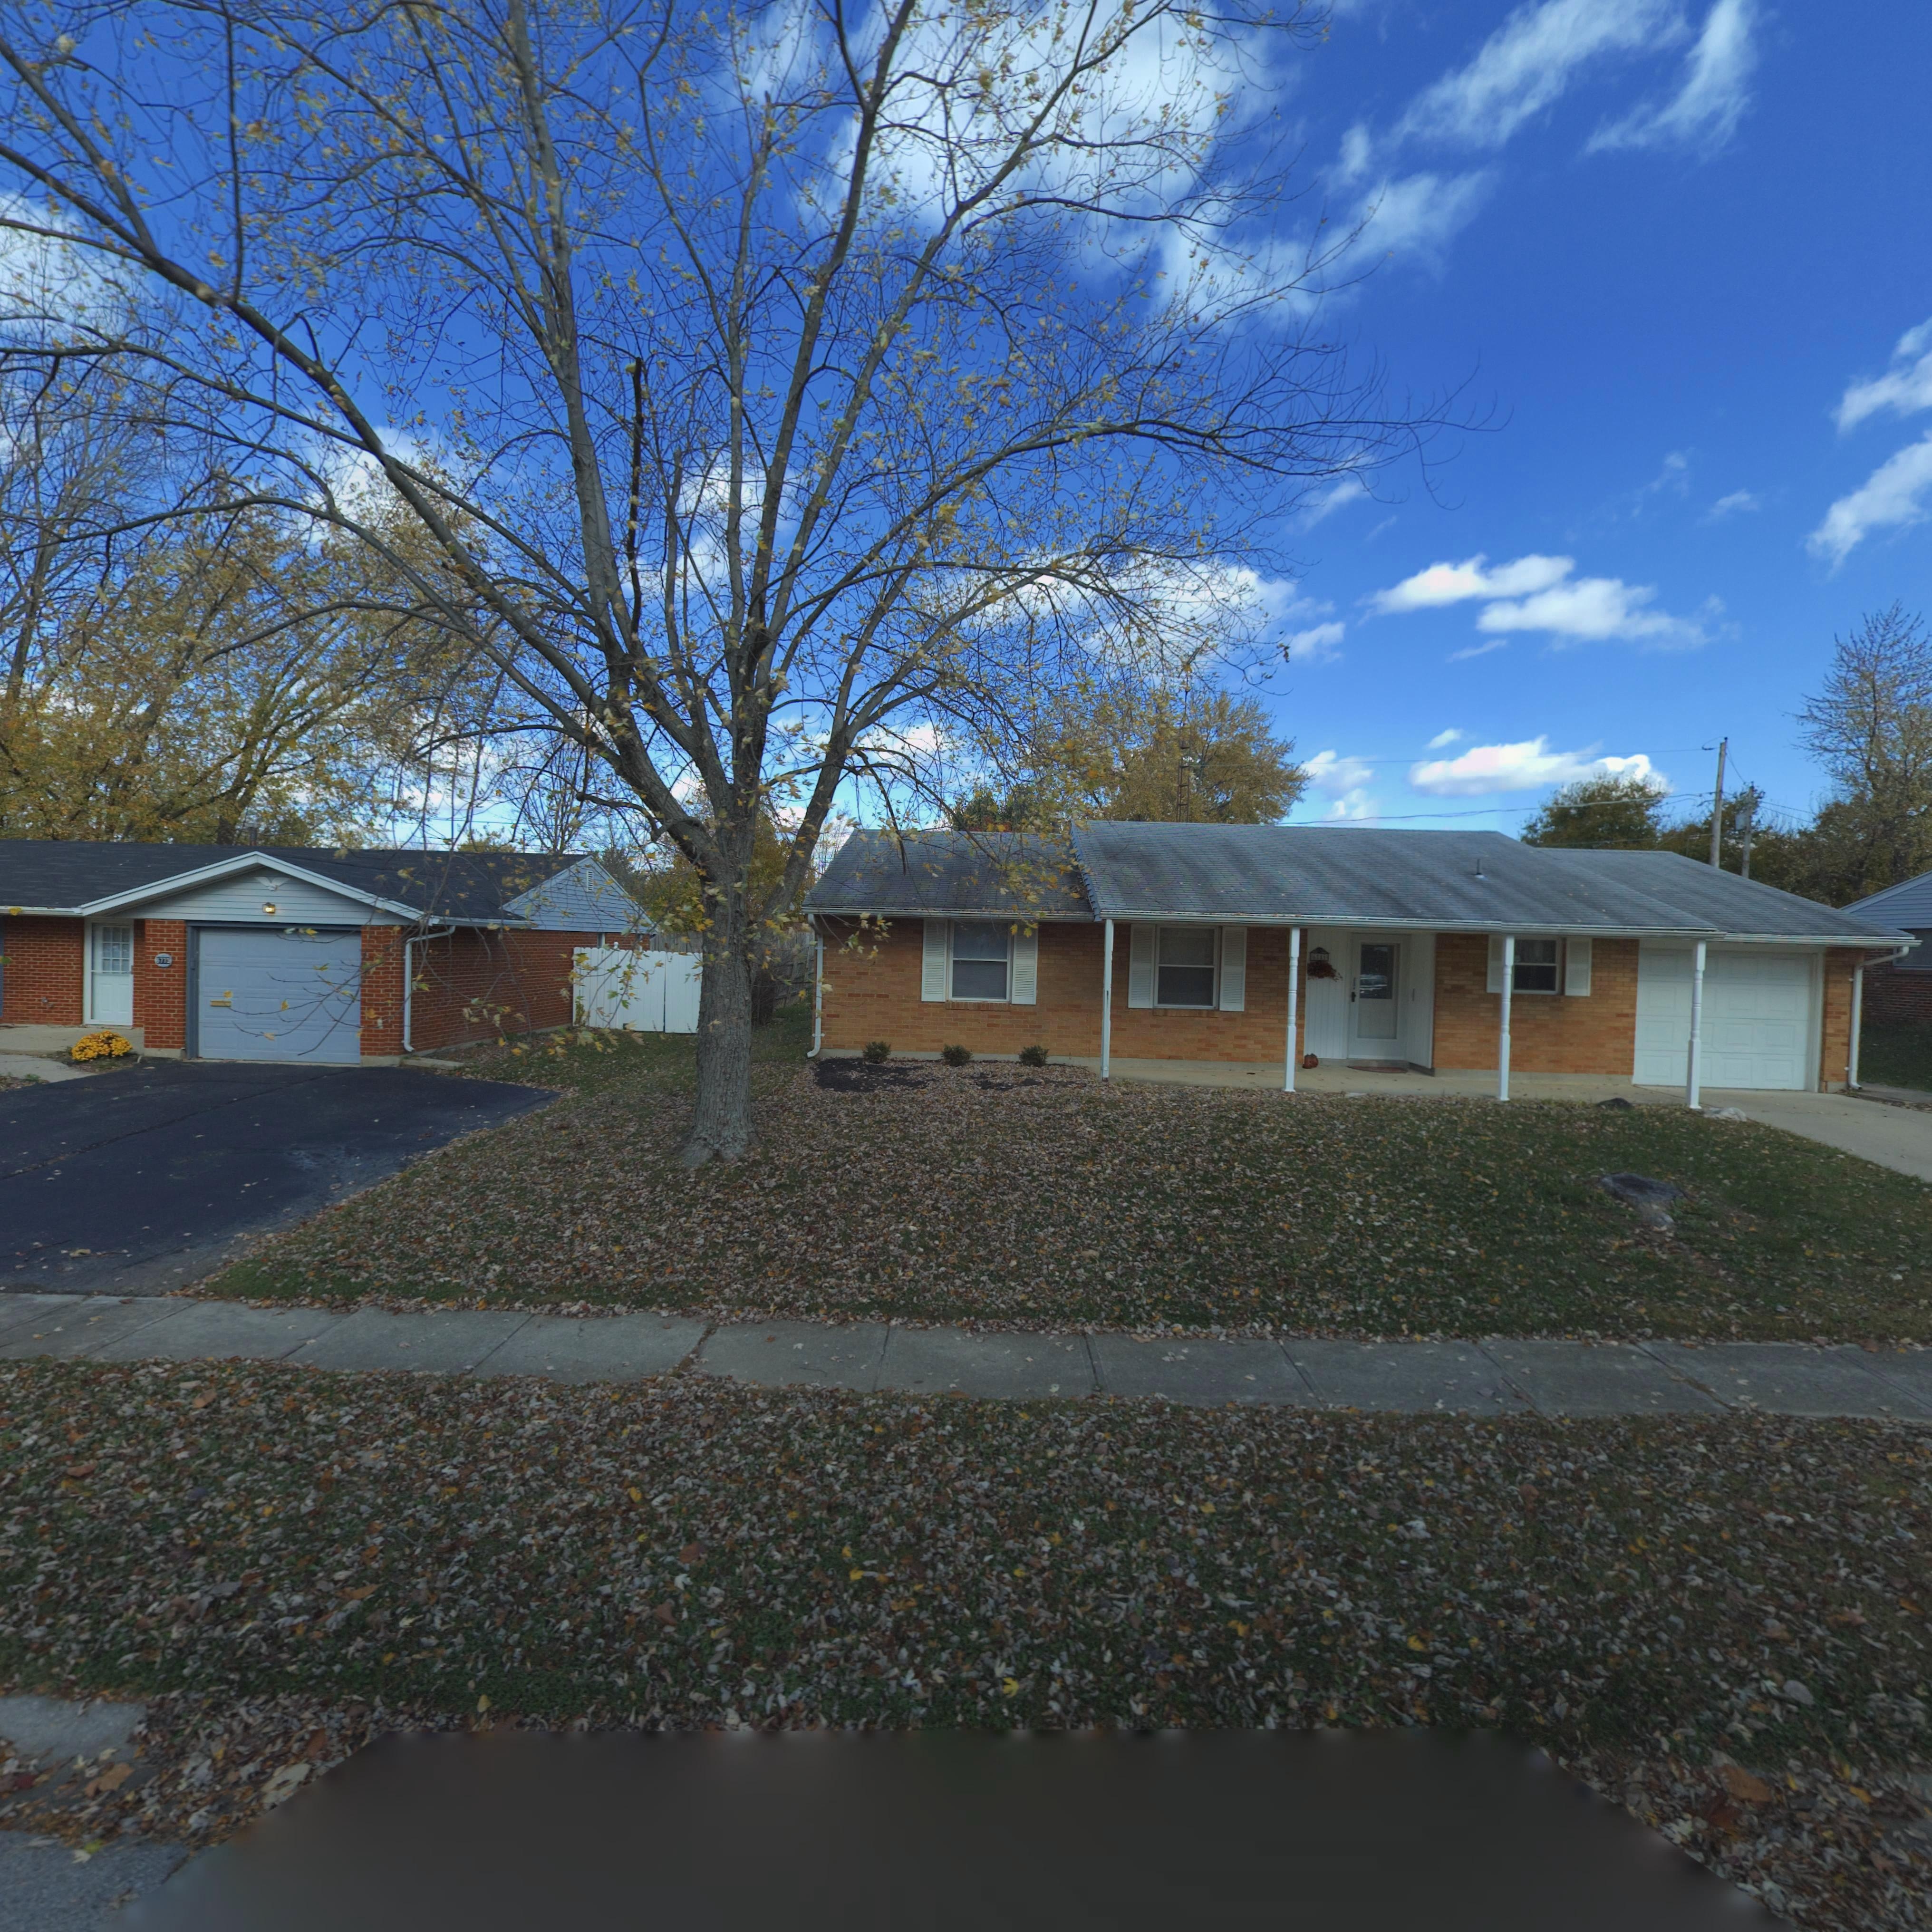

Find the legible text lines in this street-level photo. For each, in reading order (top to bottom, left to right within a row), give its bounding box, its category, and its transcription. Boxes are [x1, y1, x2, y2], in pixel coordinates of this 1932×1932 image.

[155, 957, 171, 964] StreetNumber: 6773
[1311, 954, 1326, 960] StreetNumber: 6781